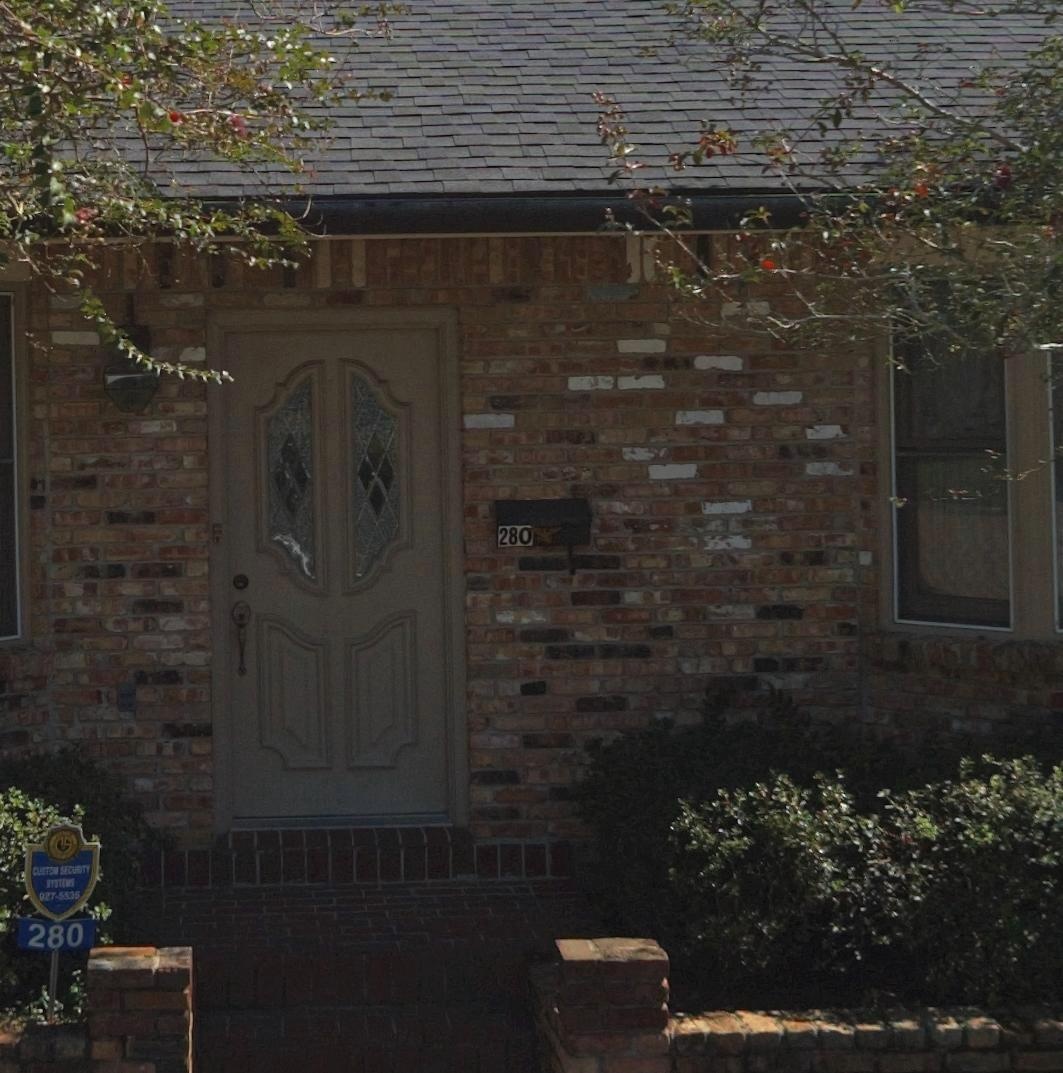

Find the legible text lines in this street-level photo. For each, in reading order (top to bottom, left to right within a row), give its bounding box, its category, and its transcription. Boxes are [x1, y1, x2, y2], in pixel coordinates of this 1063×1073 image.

[498, 525, 533, 546] StreetNumber: 280
[26, 921, 86, 951] StreetNumber: 280